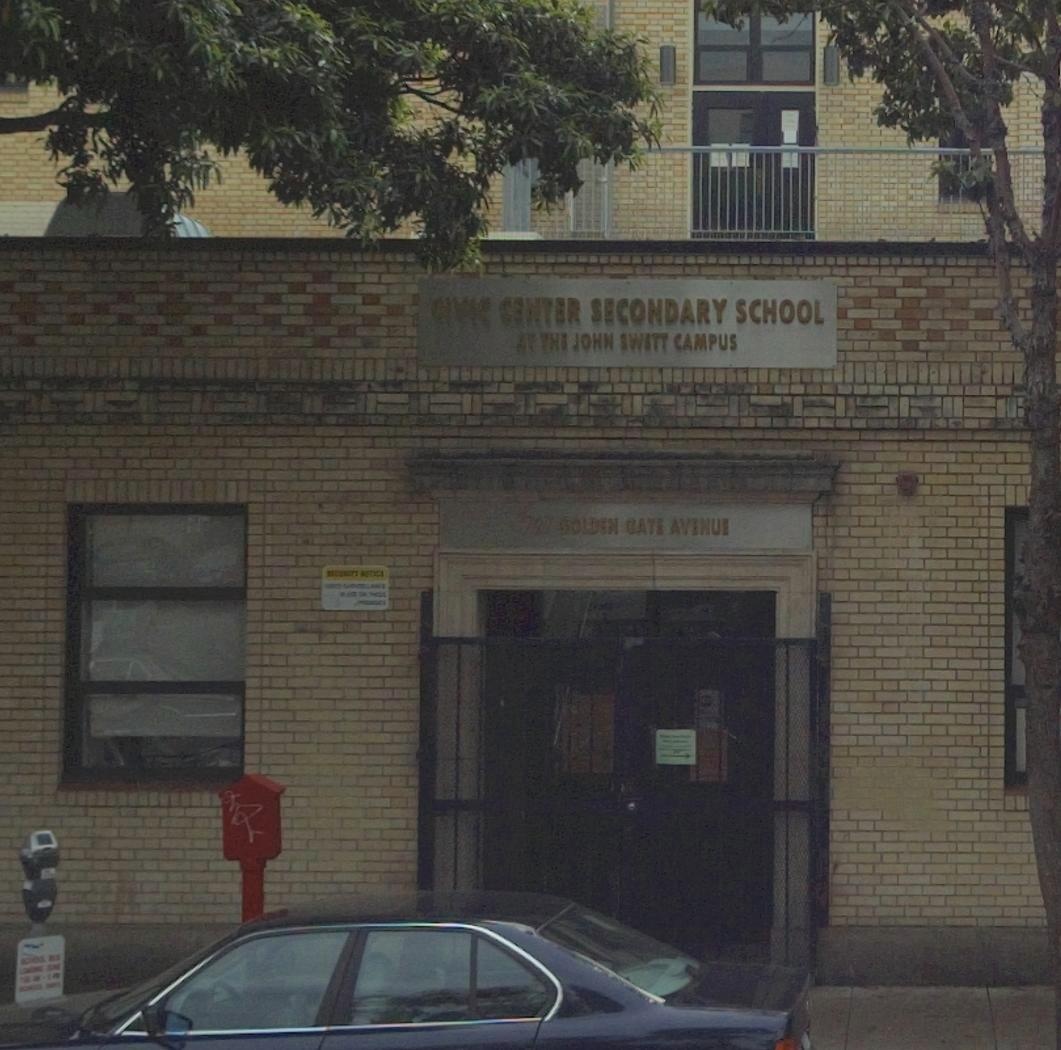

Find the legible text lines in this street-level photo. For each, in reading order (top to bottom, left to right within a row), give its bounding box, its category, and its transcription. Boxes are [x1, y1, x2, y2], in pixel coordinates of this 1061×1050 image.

[498, 296, 826, 326] BusinessName: CENTER SECONDARY SCHOOL
[571, 331, 740, 352] None: JON SW*TT CAMPUS
[518, 515, 555, 536] StreetNumber: 727
[556, 516, 730, 536] StreetName: GOLDEN GATE AVENUE